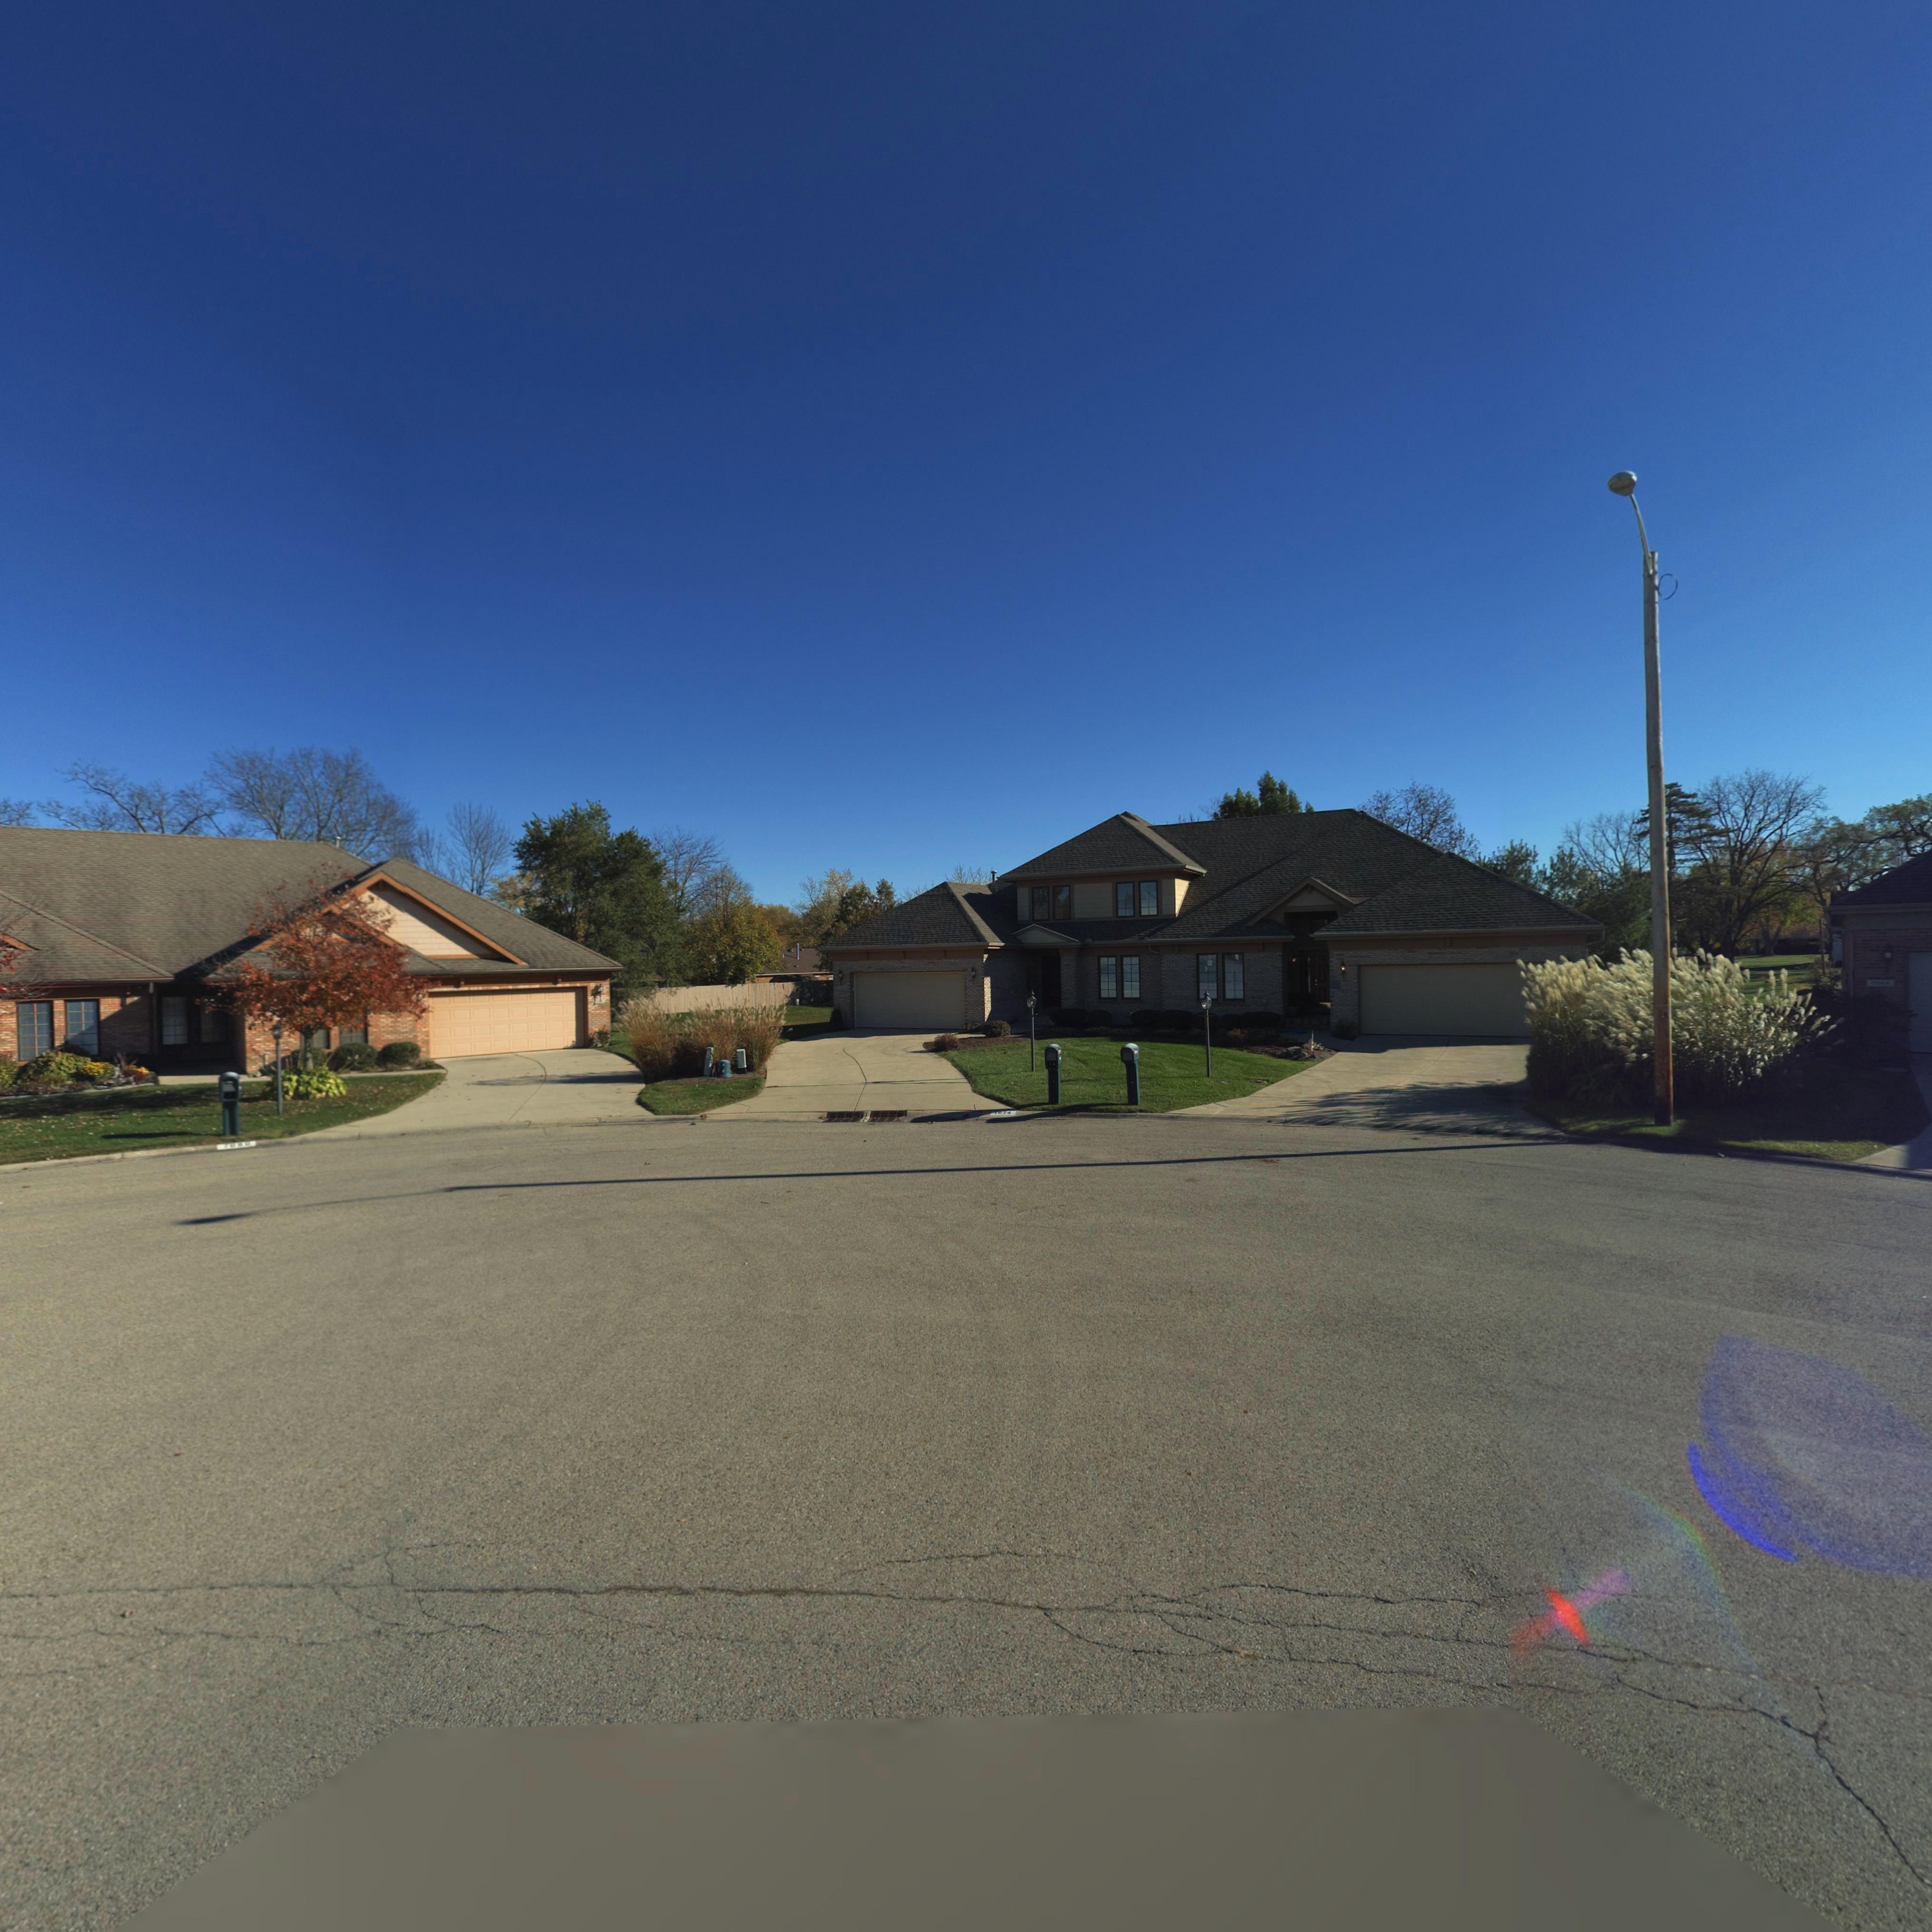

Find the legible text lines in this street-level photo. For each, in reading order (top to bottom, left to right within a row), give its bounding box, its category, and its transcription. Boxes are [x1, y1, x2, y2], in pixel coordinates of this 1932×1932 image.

[1871, 980, 1890, 986] StreetNumber: 2064
[994, 1110, 1011, 1115] StreetNumber: *0**
[222, 1141, 251, 1148] StreetNumber: 70**